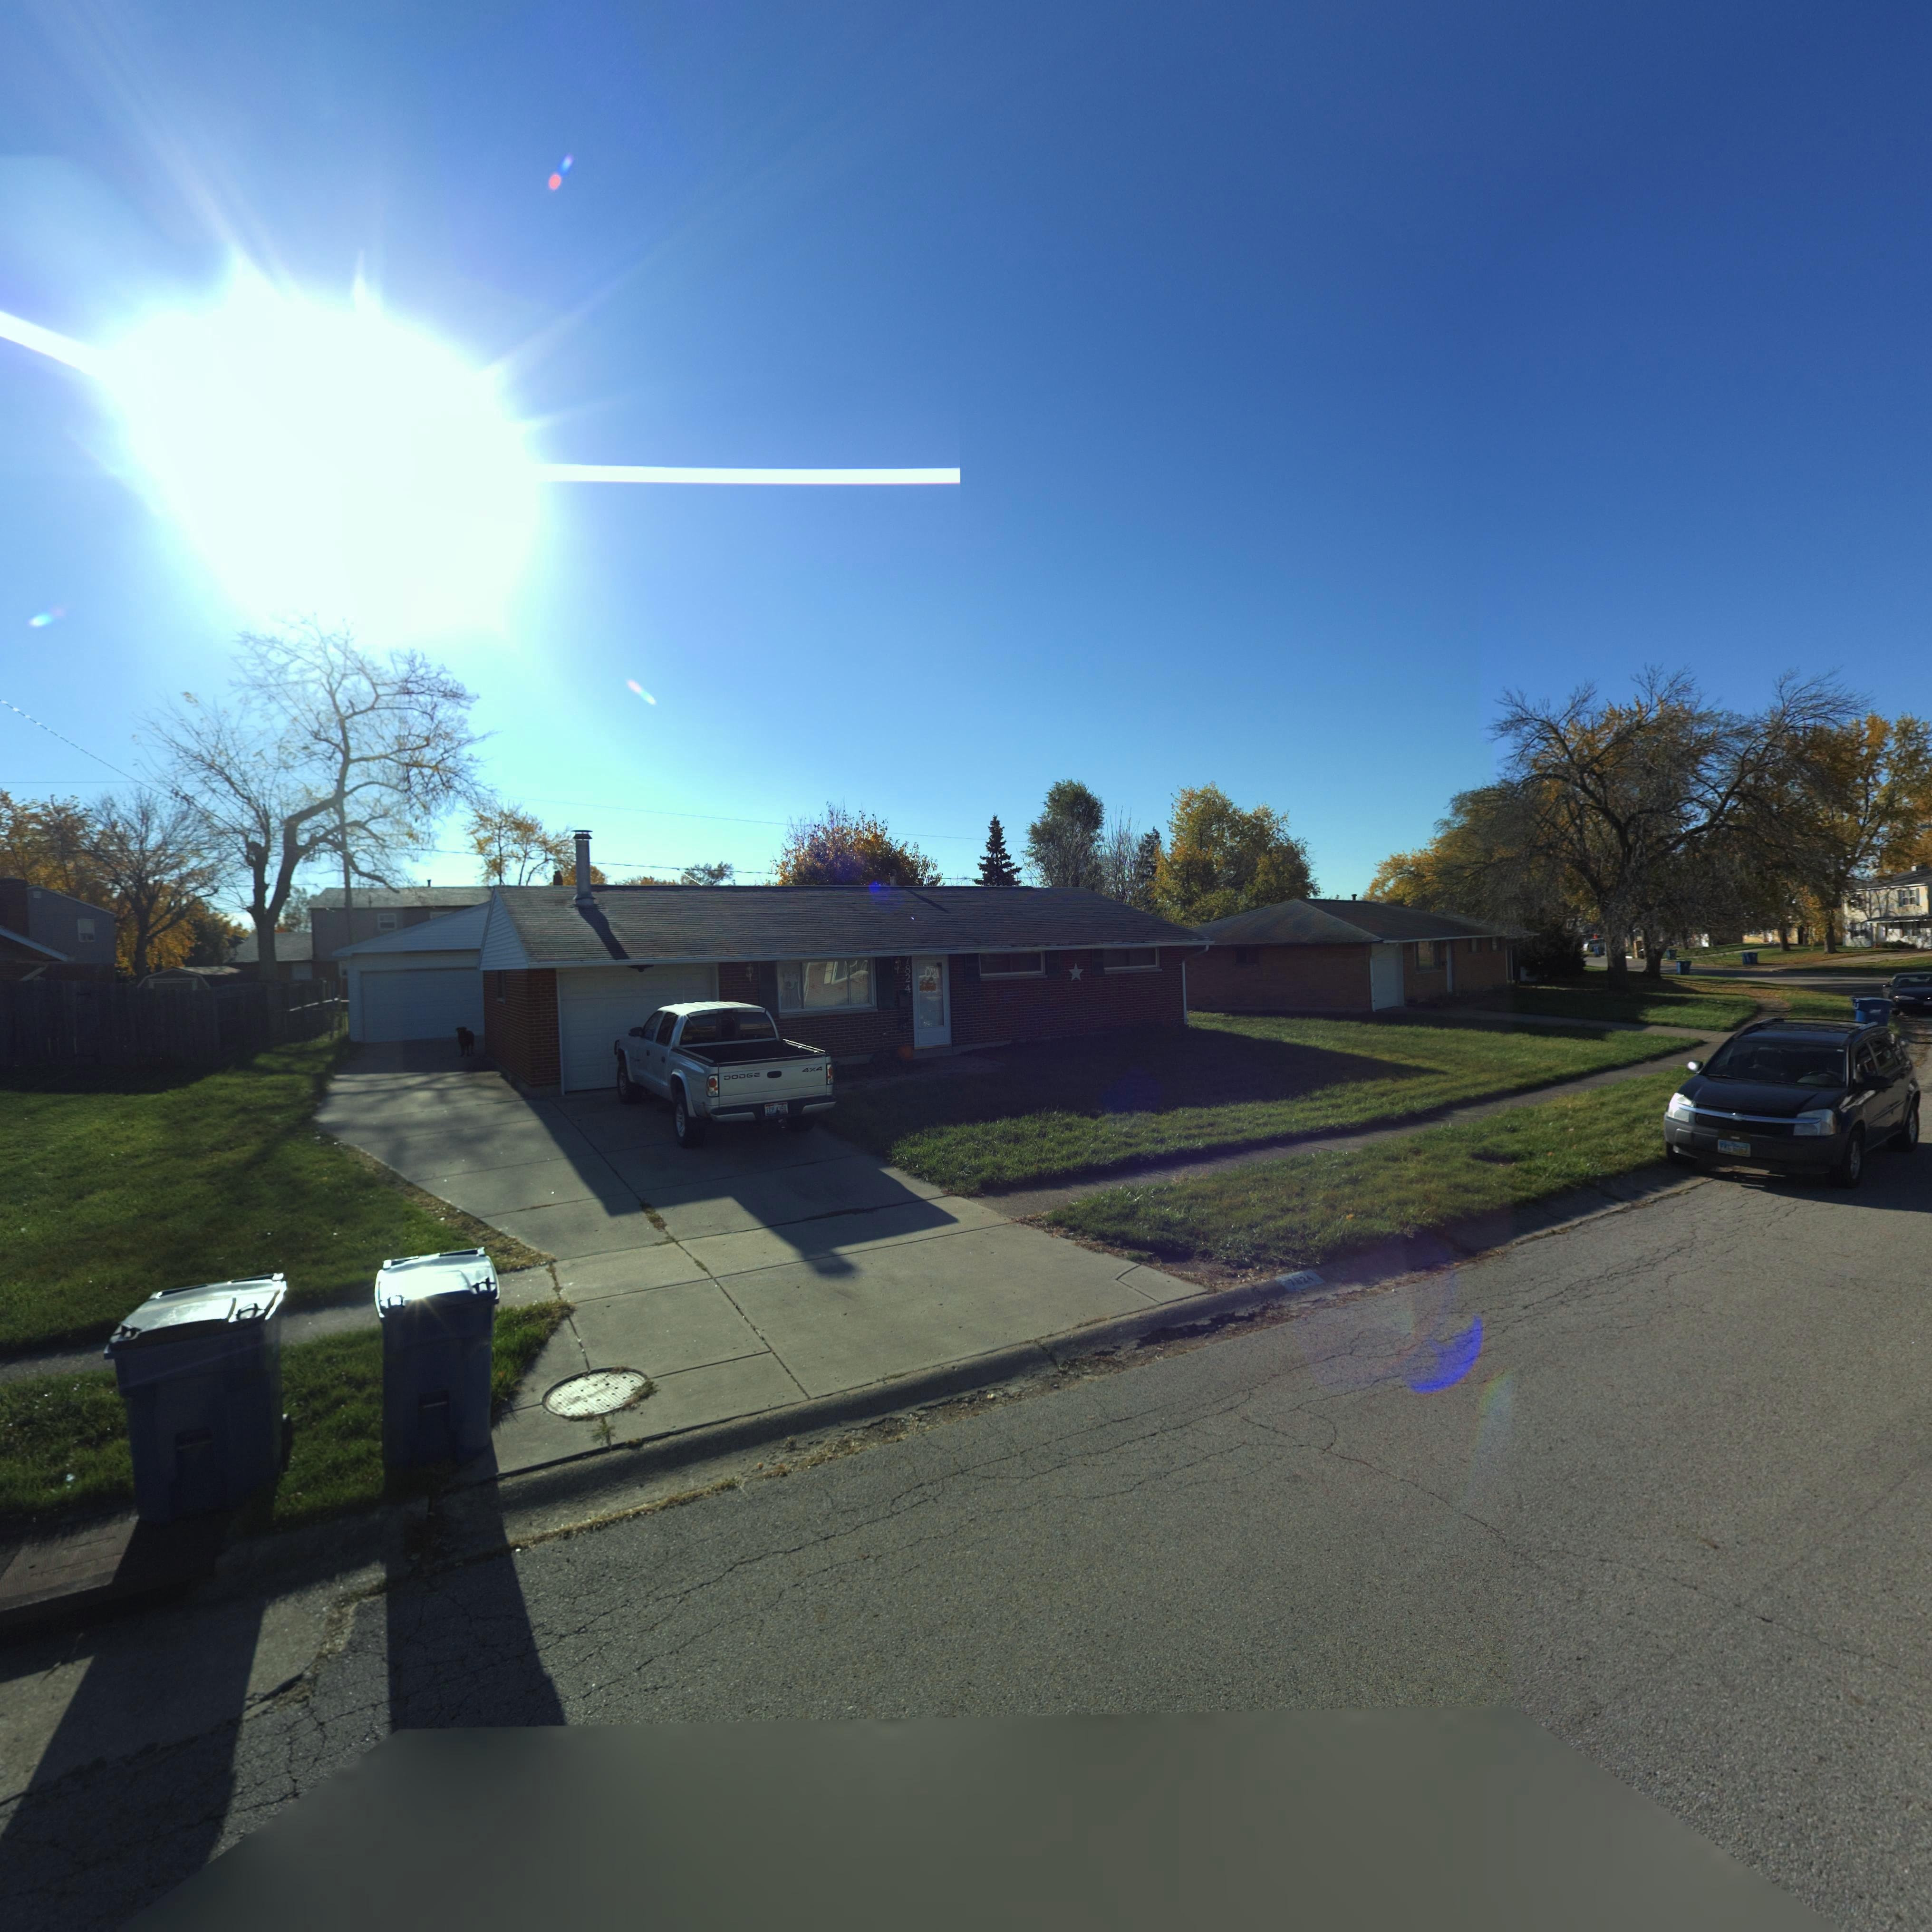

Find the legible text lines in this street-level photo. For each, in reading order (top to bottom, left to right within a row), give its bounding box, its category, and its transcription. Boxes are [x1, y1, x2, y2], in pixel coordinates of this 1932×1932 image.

[903, 955, 913, 994] StreetNumber: *824
[1285, 1273, 1316, 1288] StreetNumber: 7824